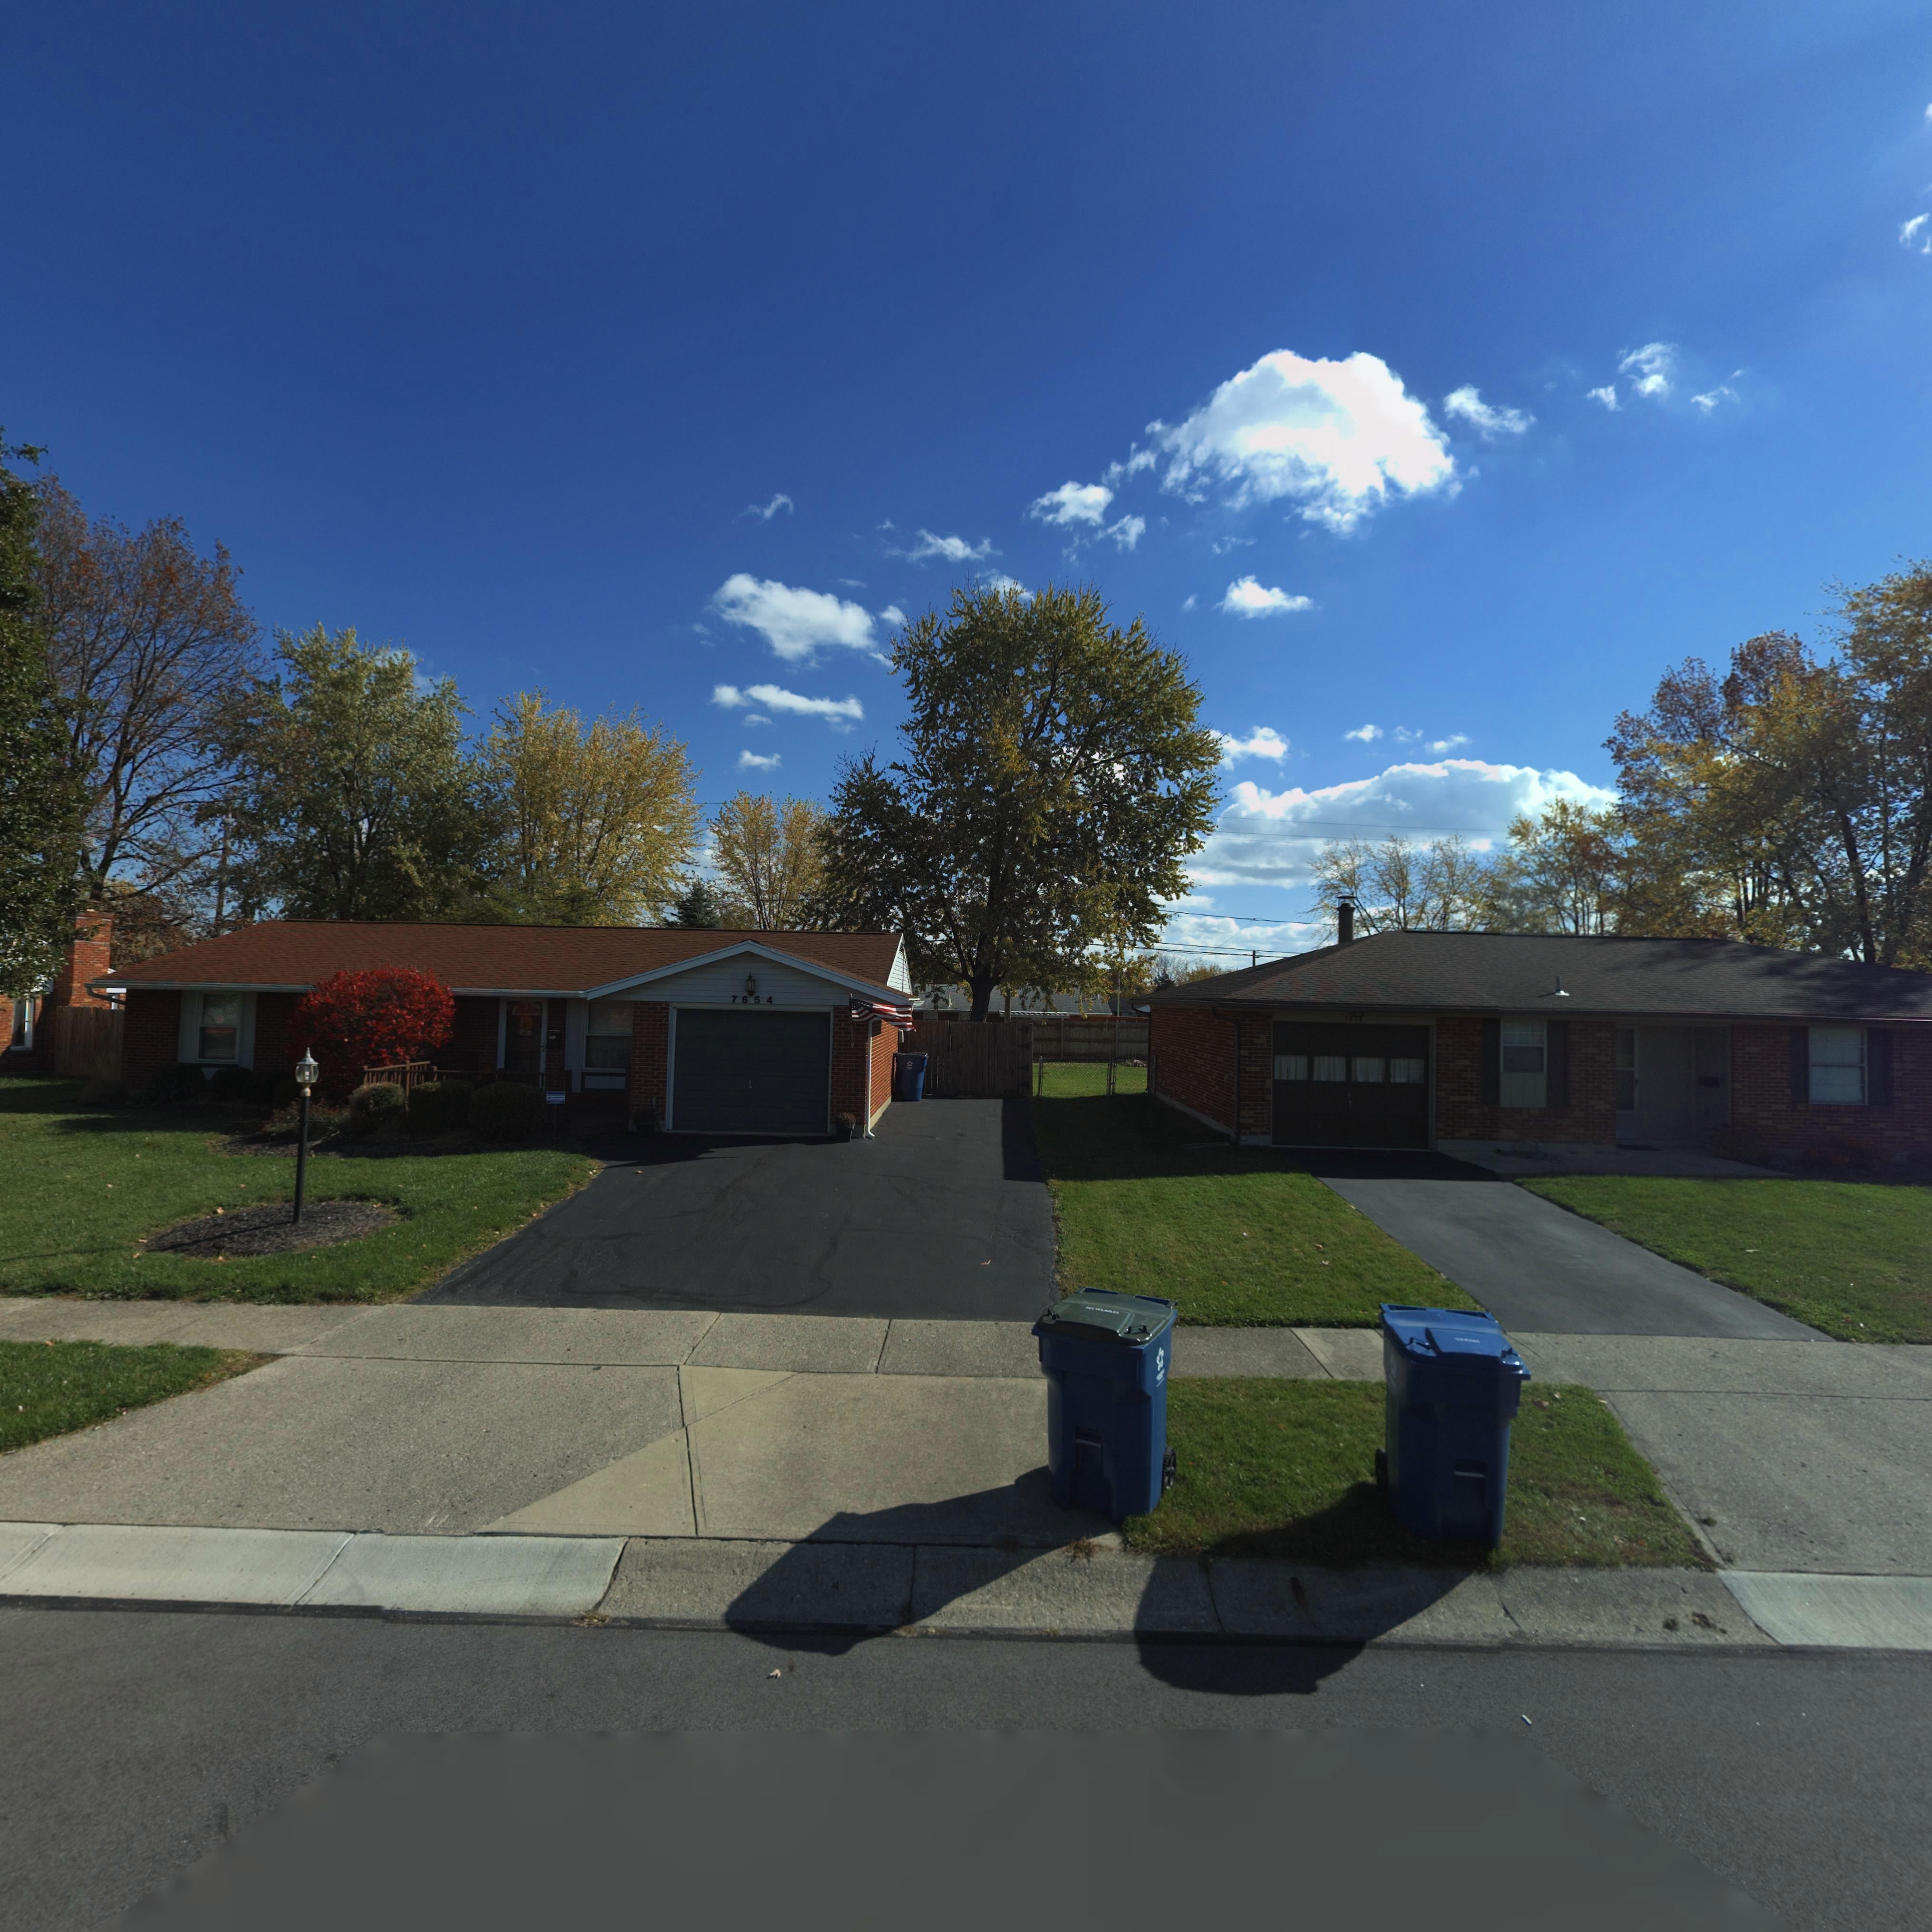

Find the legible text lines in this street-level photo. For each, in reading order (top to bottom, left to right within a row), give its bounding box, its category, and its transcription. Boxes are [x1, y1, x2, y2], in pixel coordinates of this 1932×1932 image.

[730, 994, 774, 1005] StreetNumber: 7654
[1343, 1015, 1363, 1024] StreetNumber: *6**